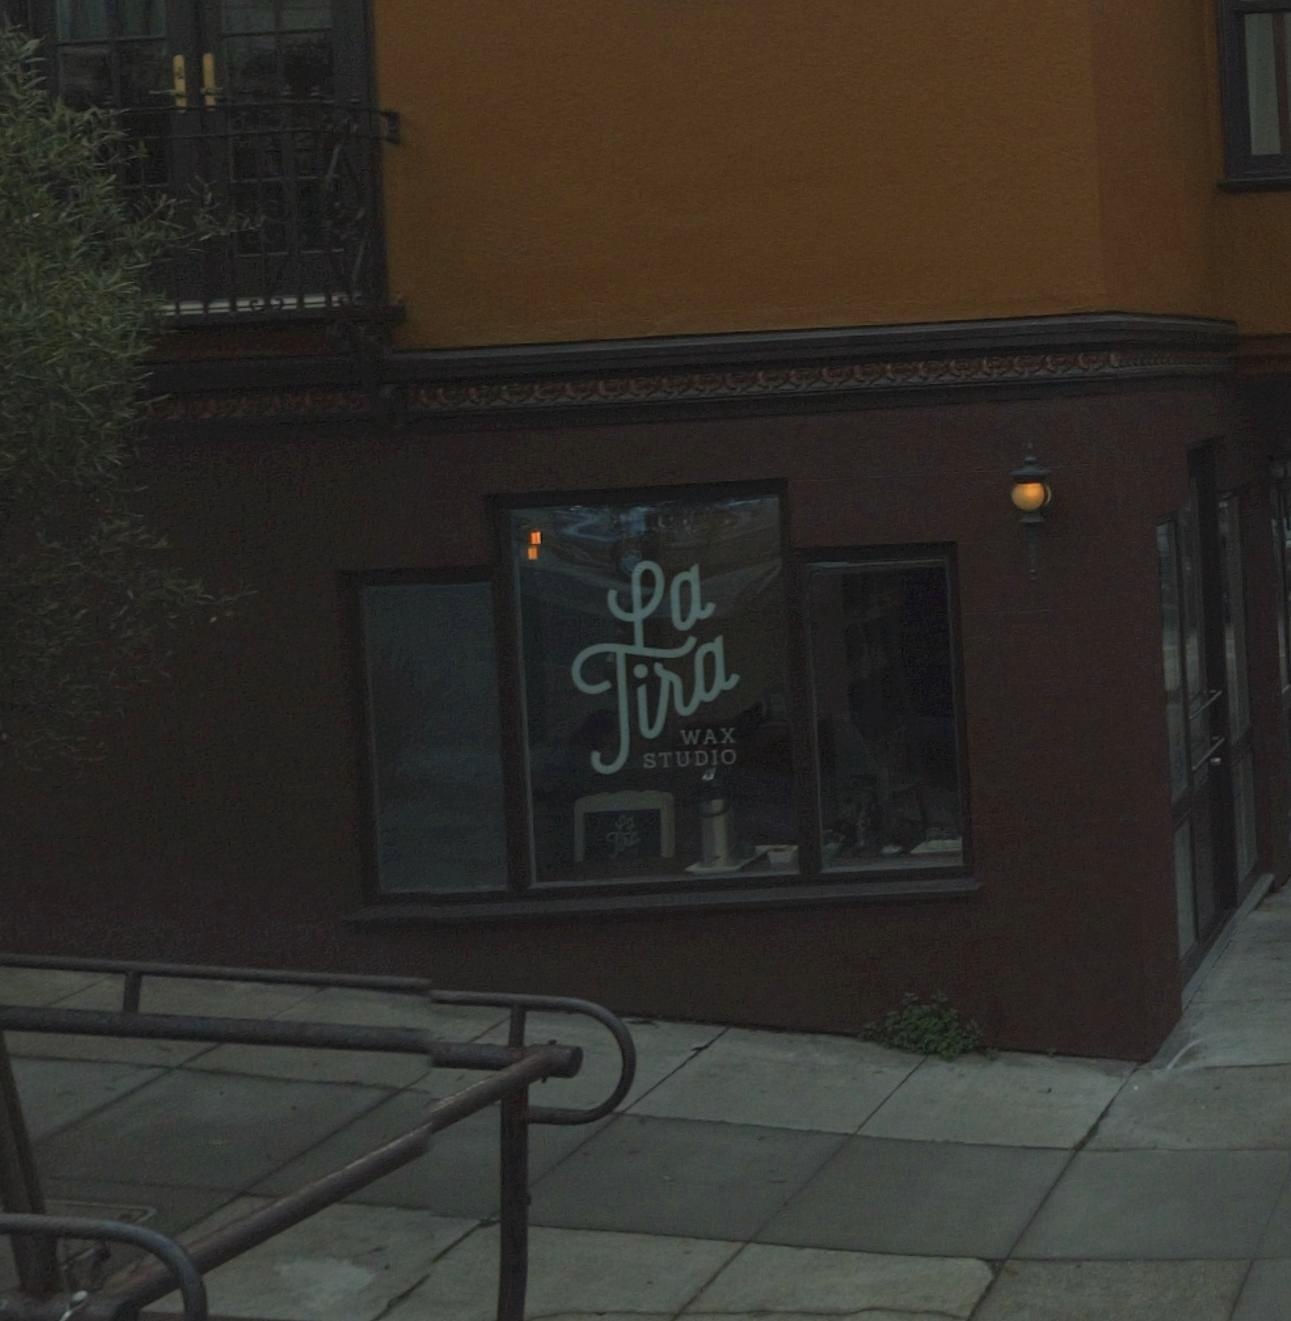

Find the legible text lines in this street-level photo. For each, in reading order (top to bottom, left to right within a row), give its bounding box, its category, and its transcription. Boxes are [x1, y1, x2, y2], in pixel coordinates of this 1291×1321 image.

[565, 560, 721, 702] BusinessName: La
[566, 633, 745, 780] BusinessName: Tira
[677, 725, 737, 747] None: WAX
[641, 747, 738, 771] None: STUDIO
[604, 814, 638, 846] BusinessName: La
[602, 829, 643, 863] BusinessName: Tira